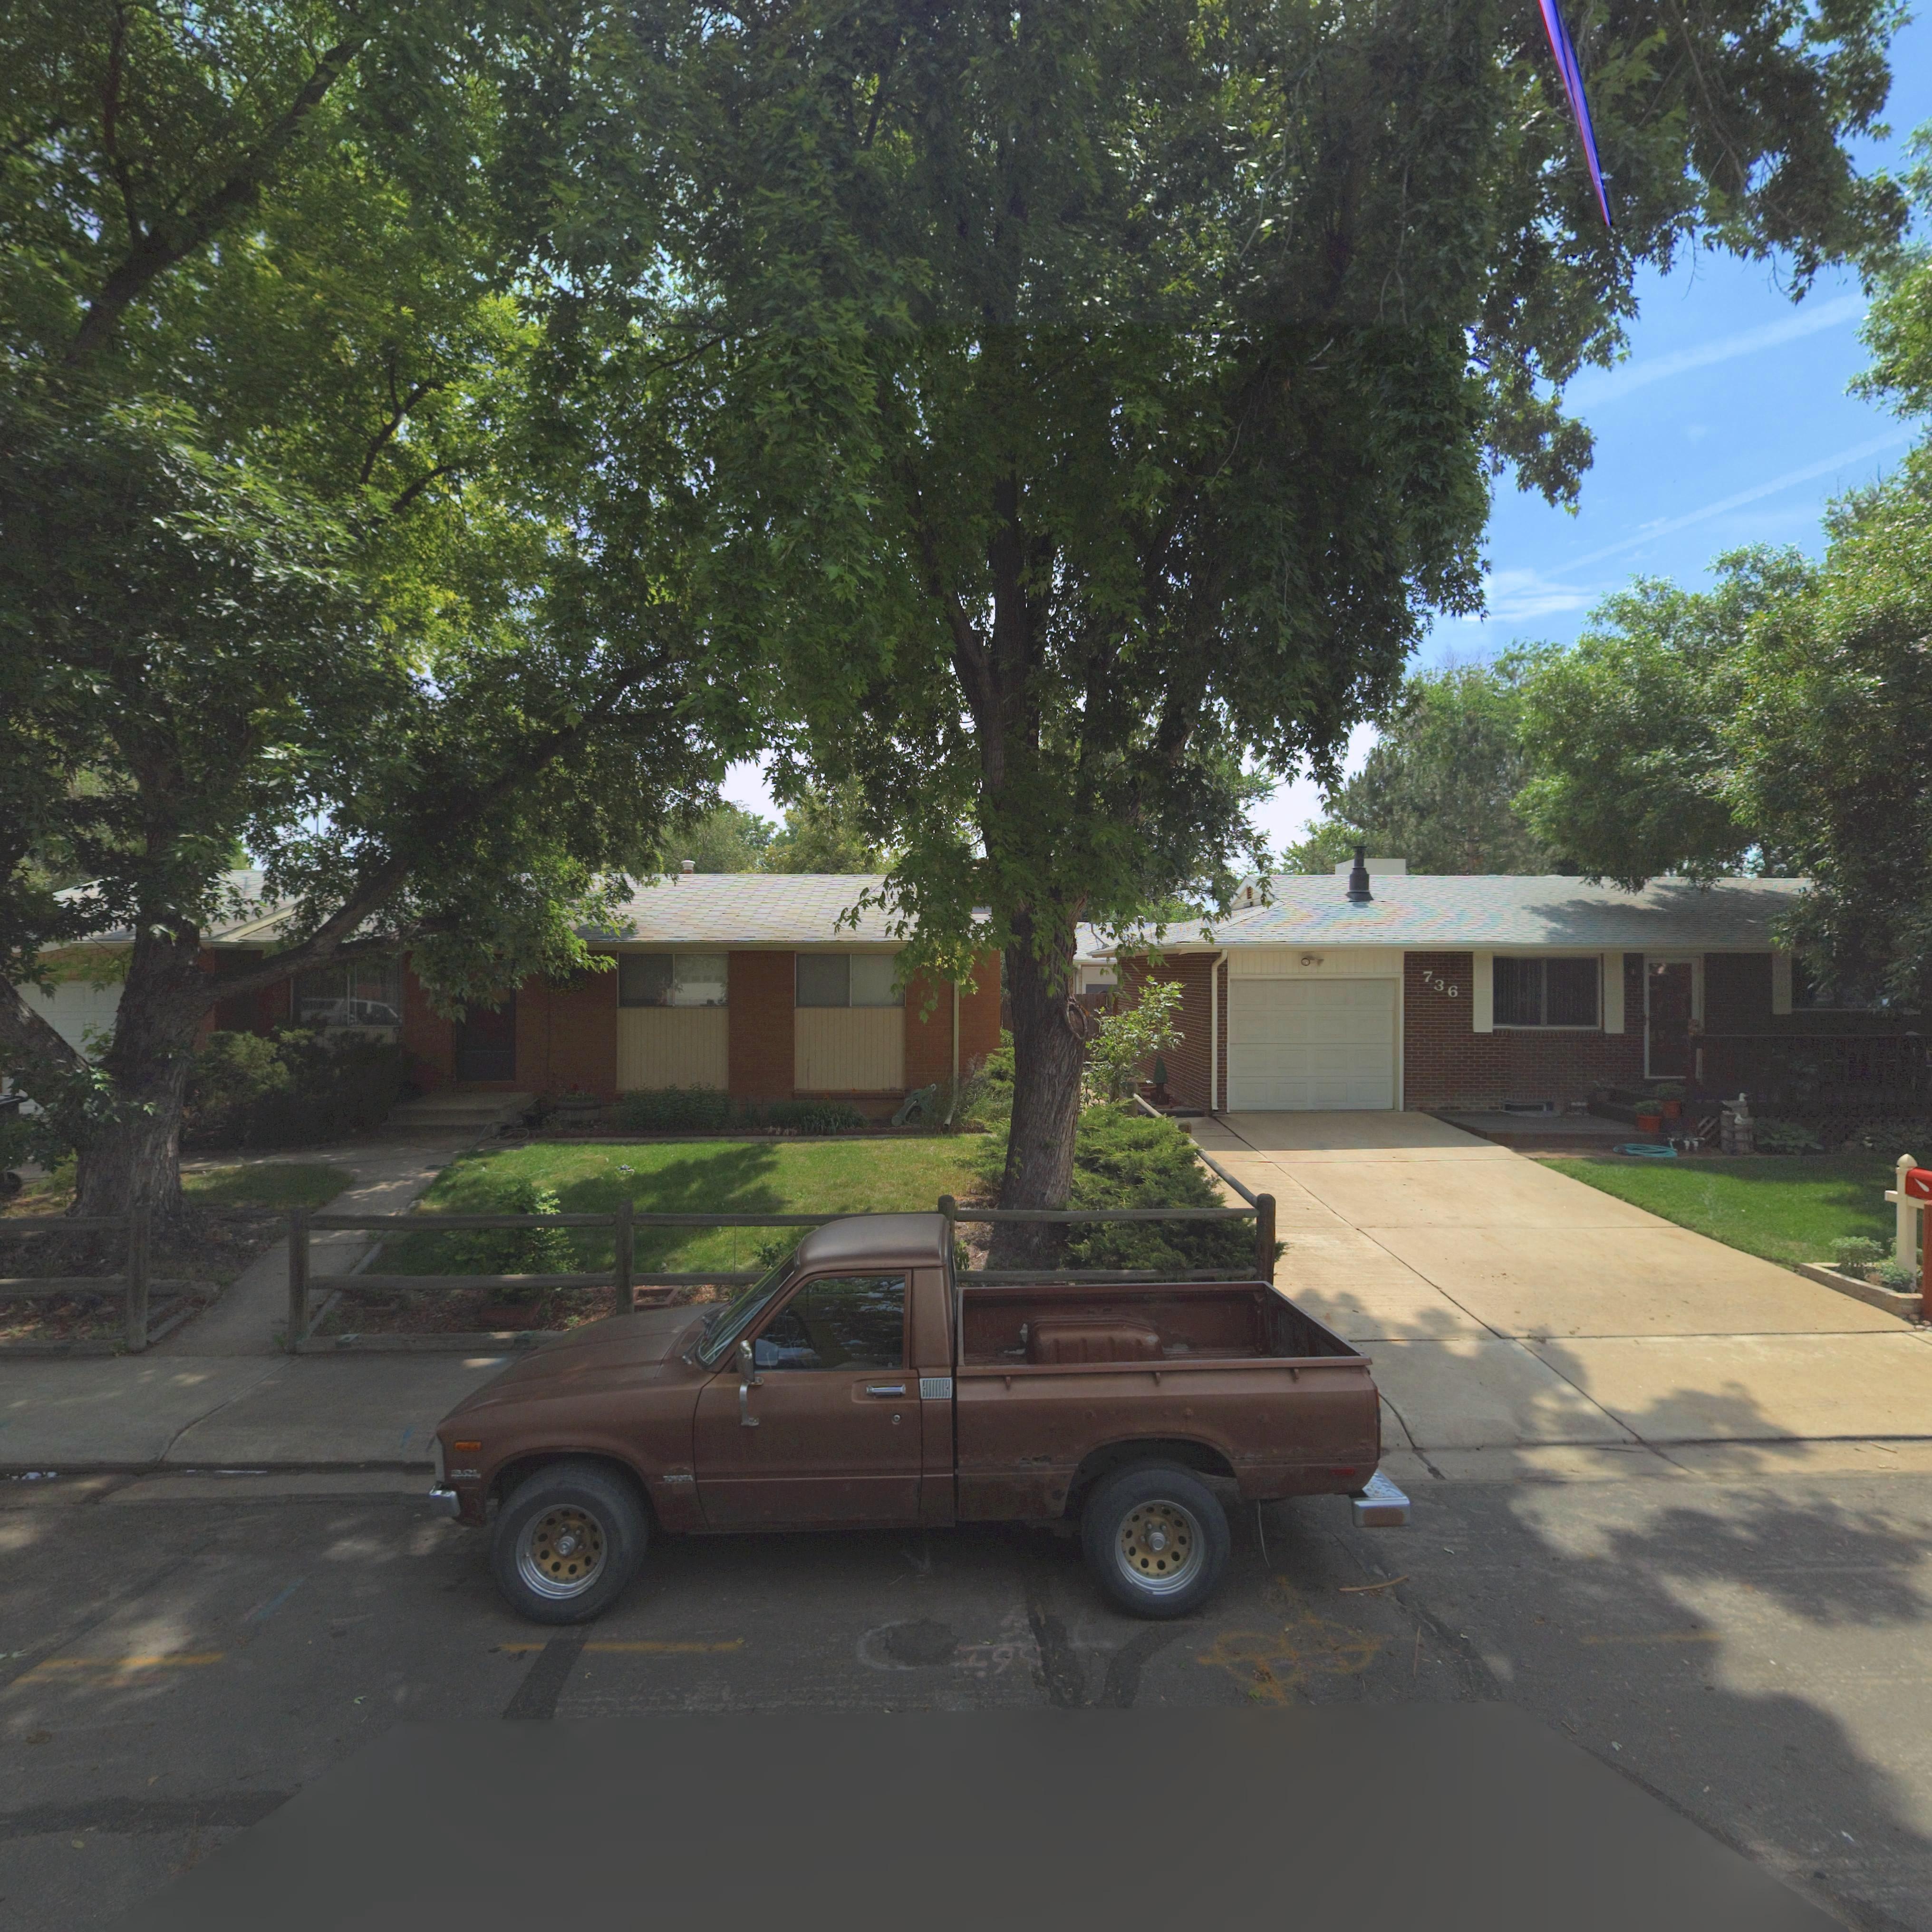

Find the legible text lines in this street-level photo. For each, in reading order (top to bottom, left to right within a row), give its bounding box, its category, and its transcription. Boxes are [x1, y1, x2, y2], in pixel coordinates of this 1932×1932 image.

[1422, 970, 1458, 998] StreetNumber: 736